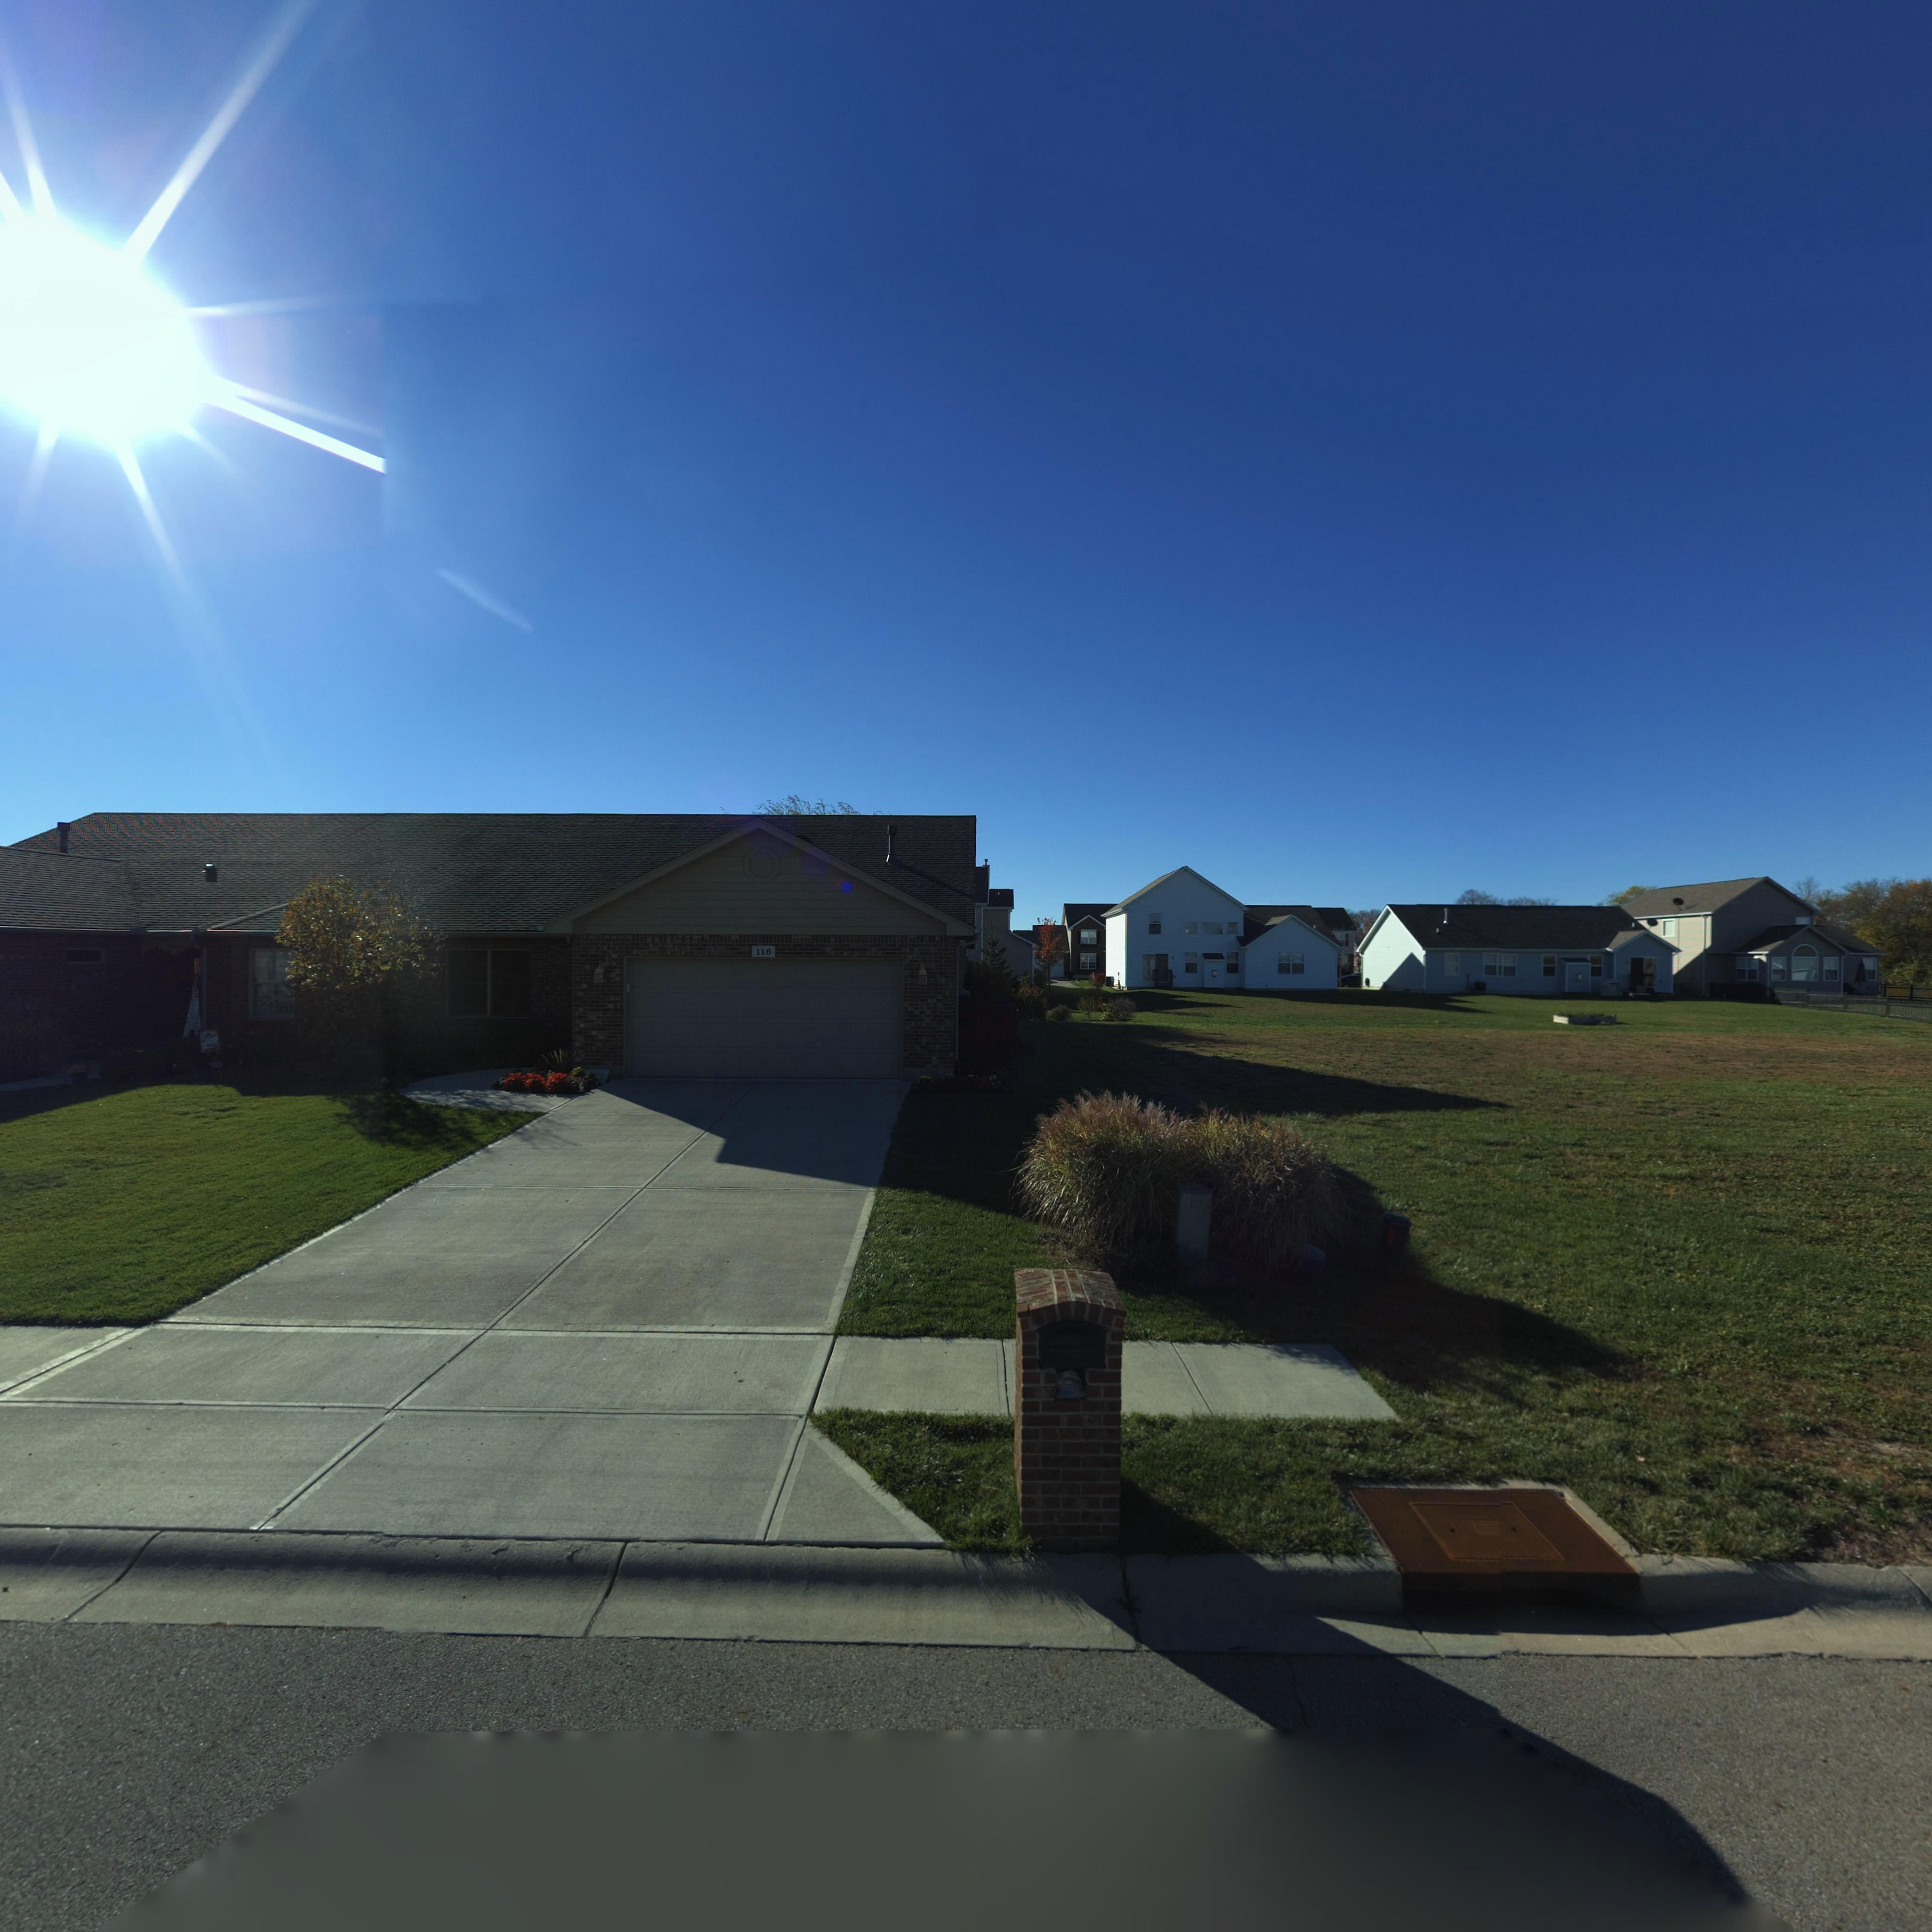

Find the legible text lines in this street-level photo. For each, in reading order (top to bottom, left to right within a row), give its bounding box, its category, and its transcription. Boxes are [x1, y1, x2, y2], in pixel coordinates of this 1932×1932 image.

[756, 947, 772, 956] StreetNumber: 116